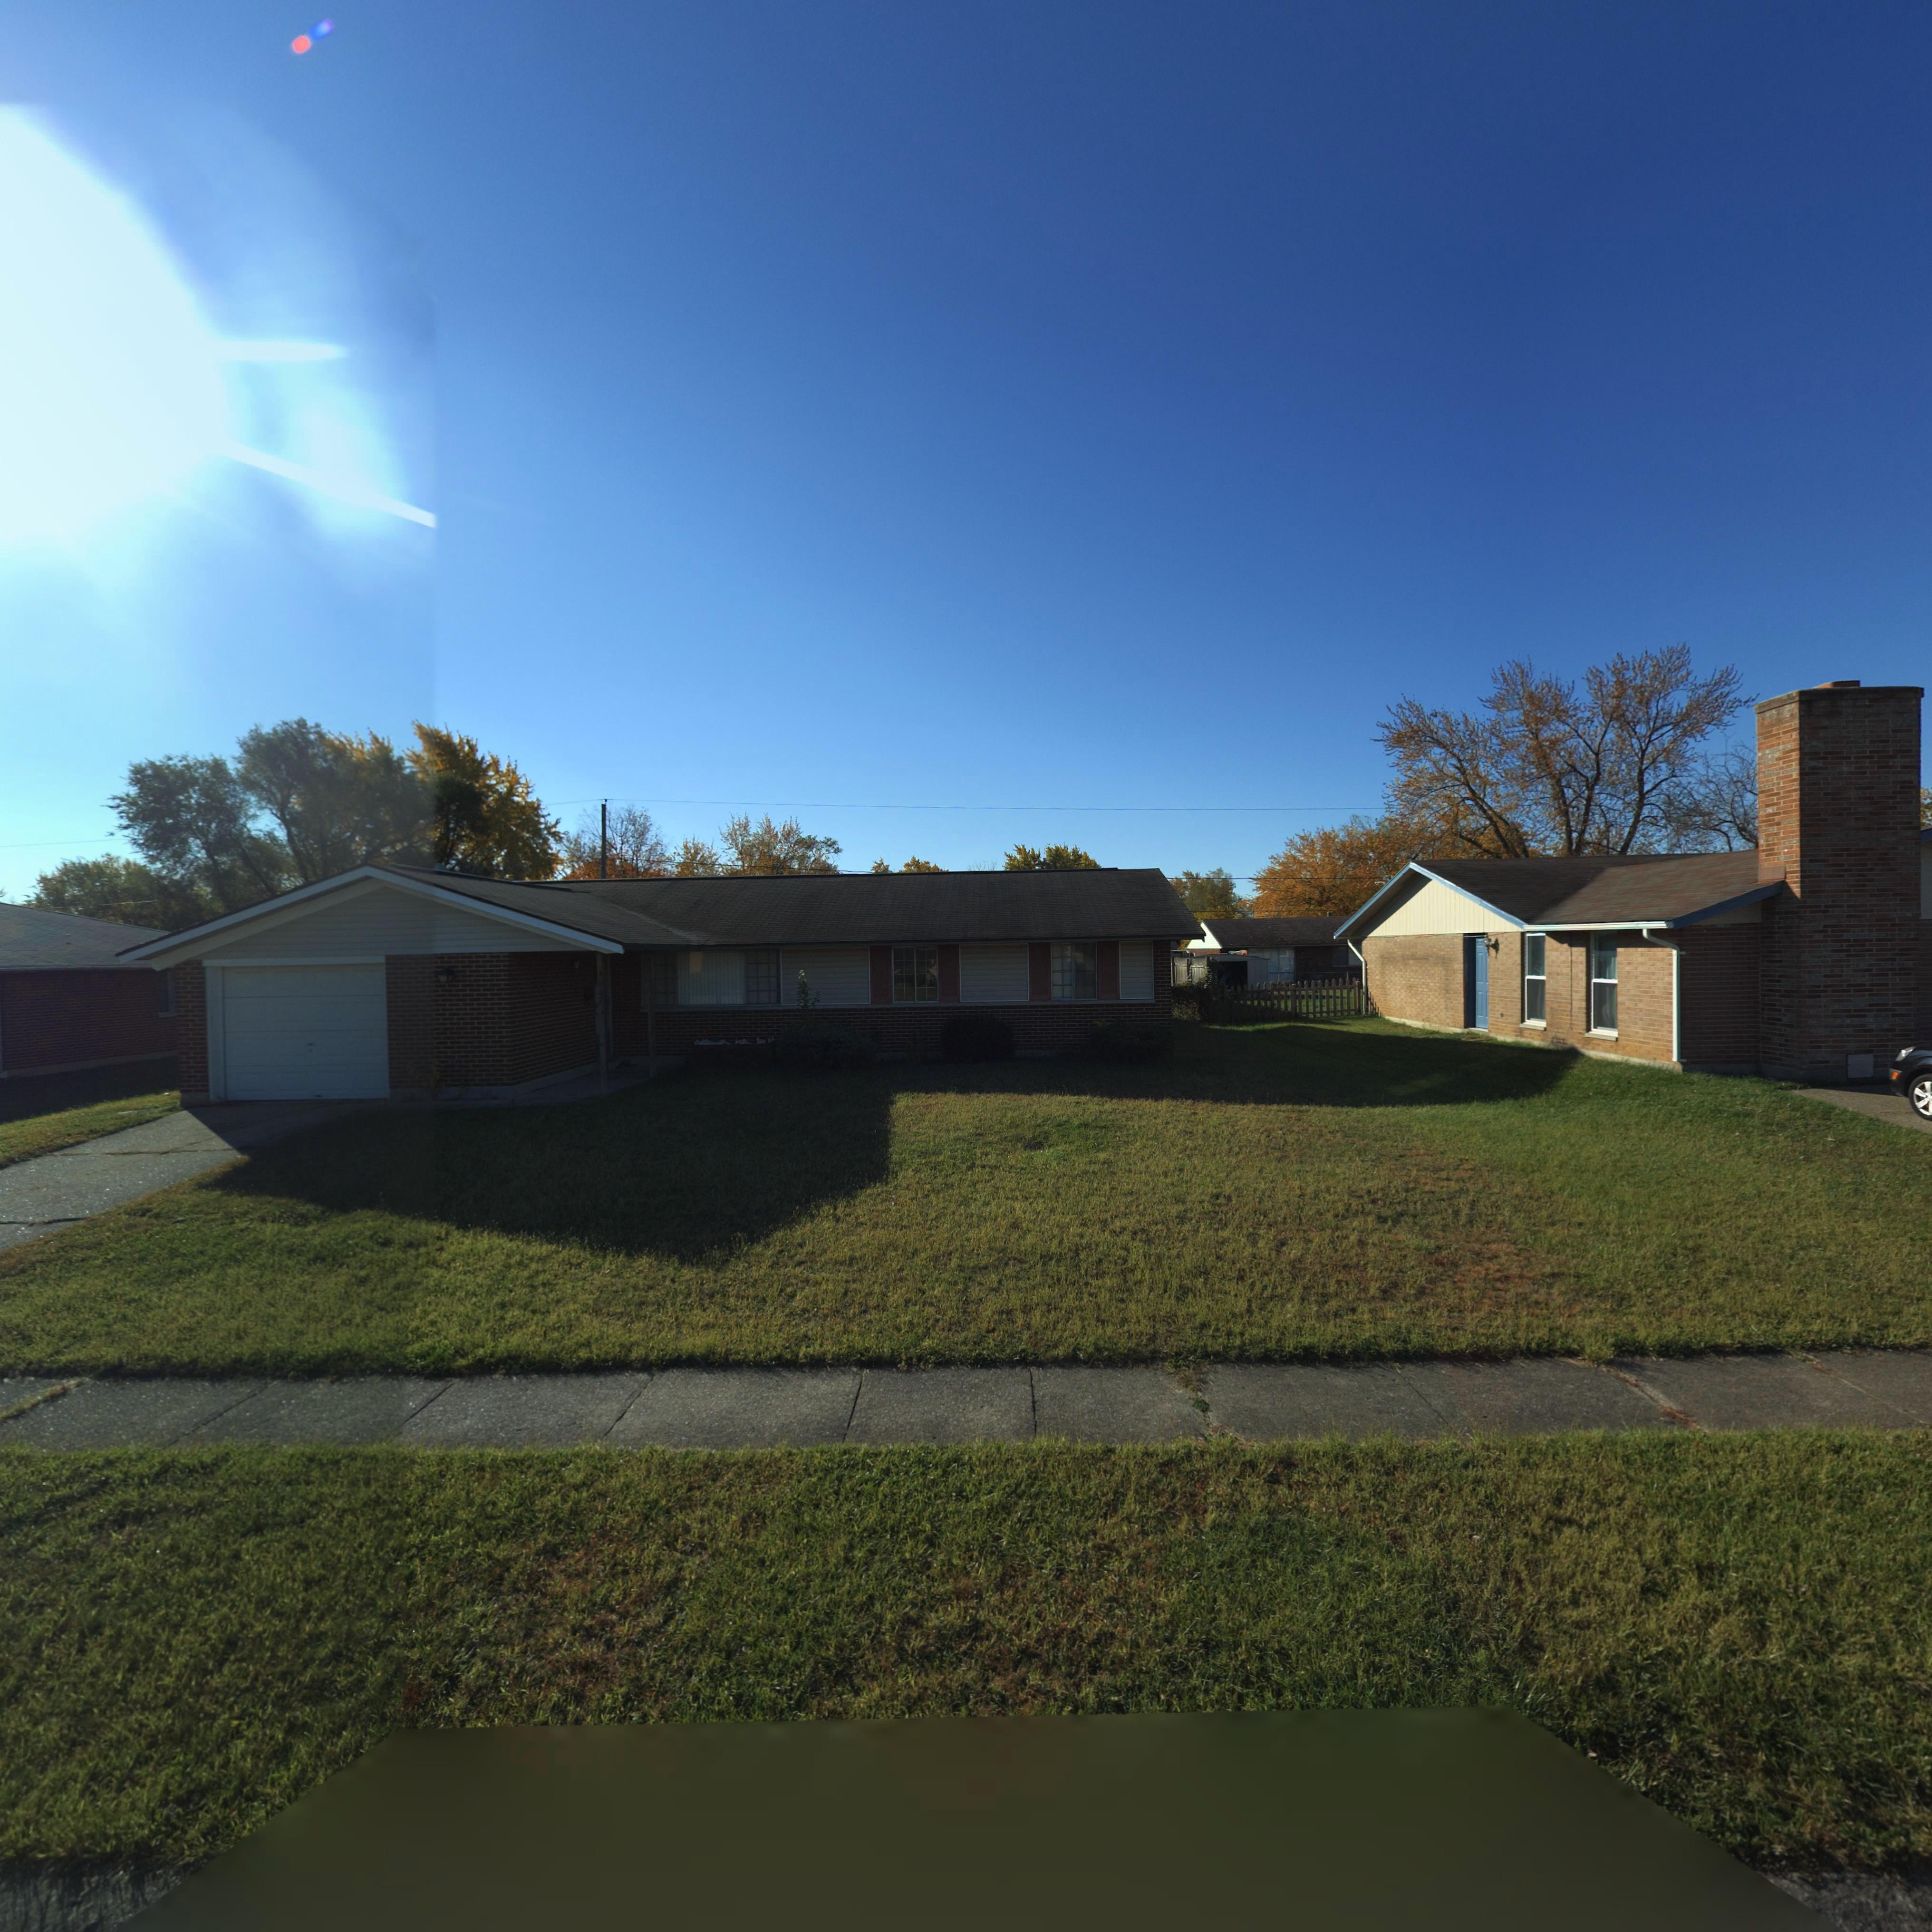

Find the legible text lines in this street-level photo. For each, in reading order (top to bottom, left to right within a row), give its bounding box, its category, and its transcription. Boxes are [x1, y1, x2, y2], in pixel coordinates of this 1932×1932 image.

[596, 968, 606, 1005] StreetNumber: **42